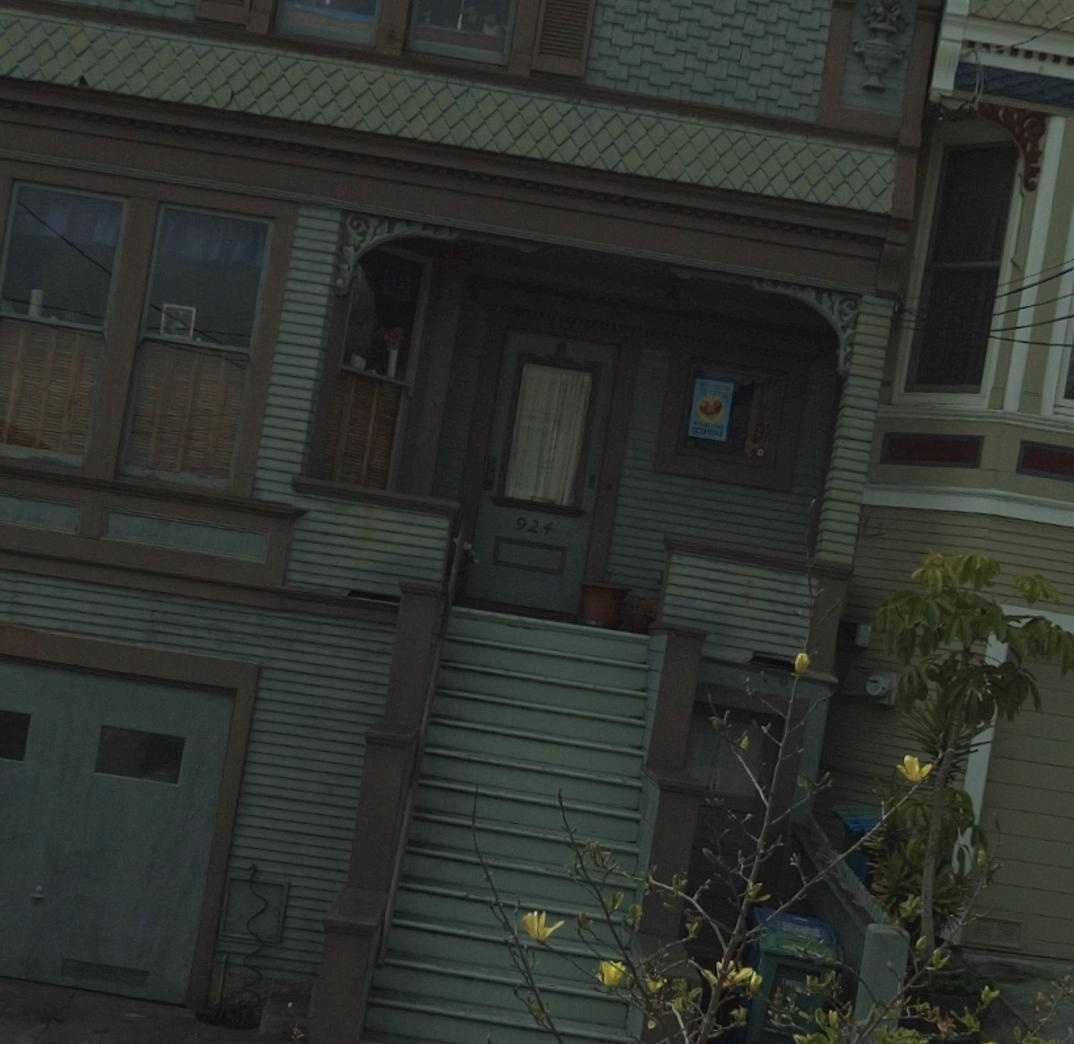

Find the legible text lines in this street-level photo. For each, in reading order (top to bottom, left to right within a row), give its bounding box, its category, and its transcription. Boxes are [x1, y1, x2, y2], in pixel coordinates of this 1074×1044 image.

[513, 515, 555, 539] StreetNumber: 924